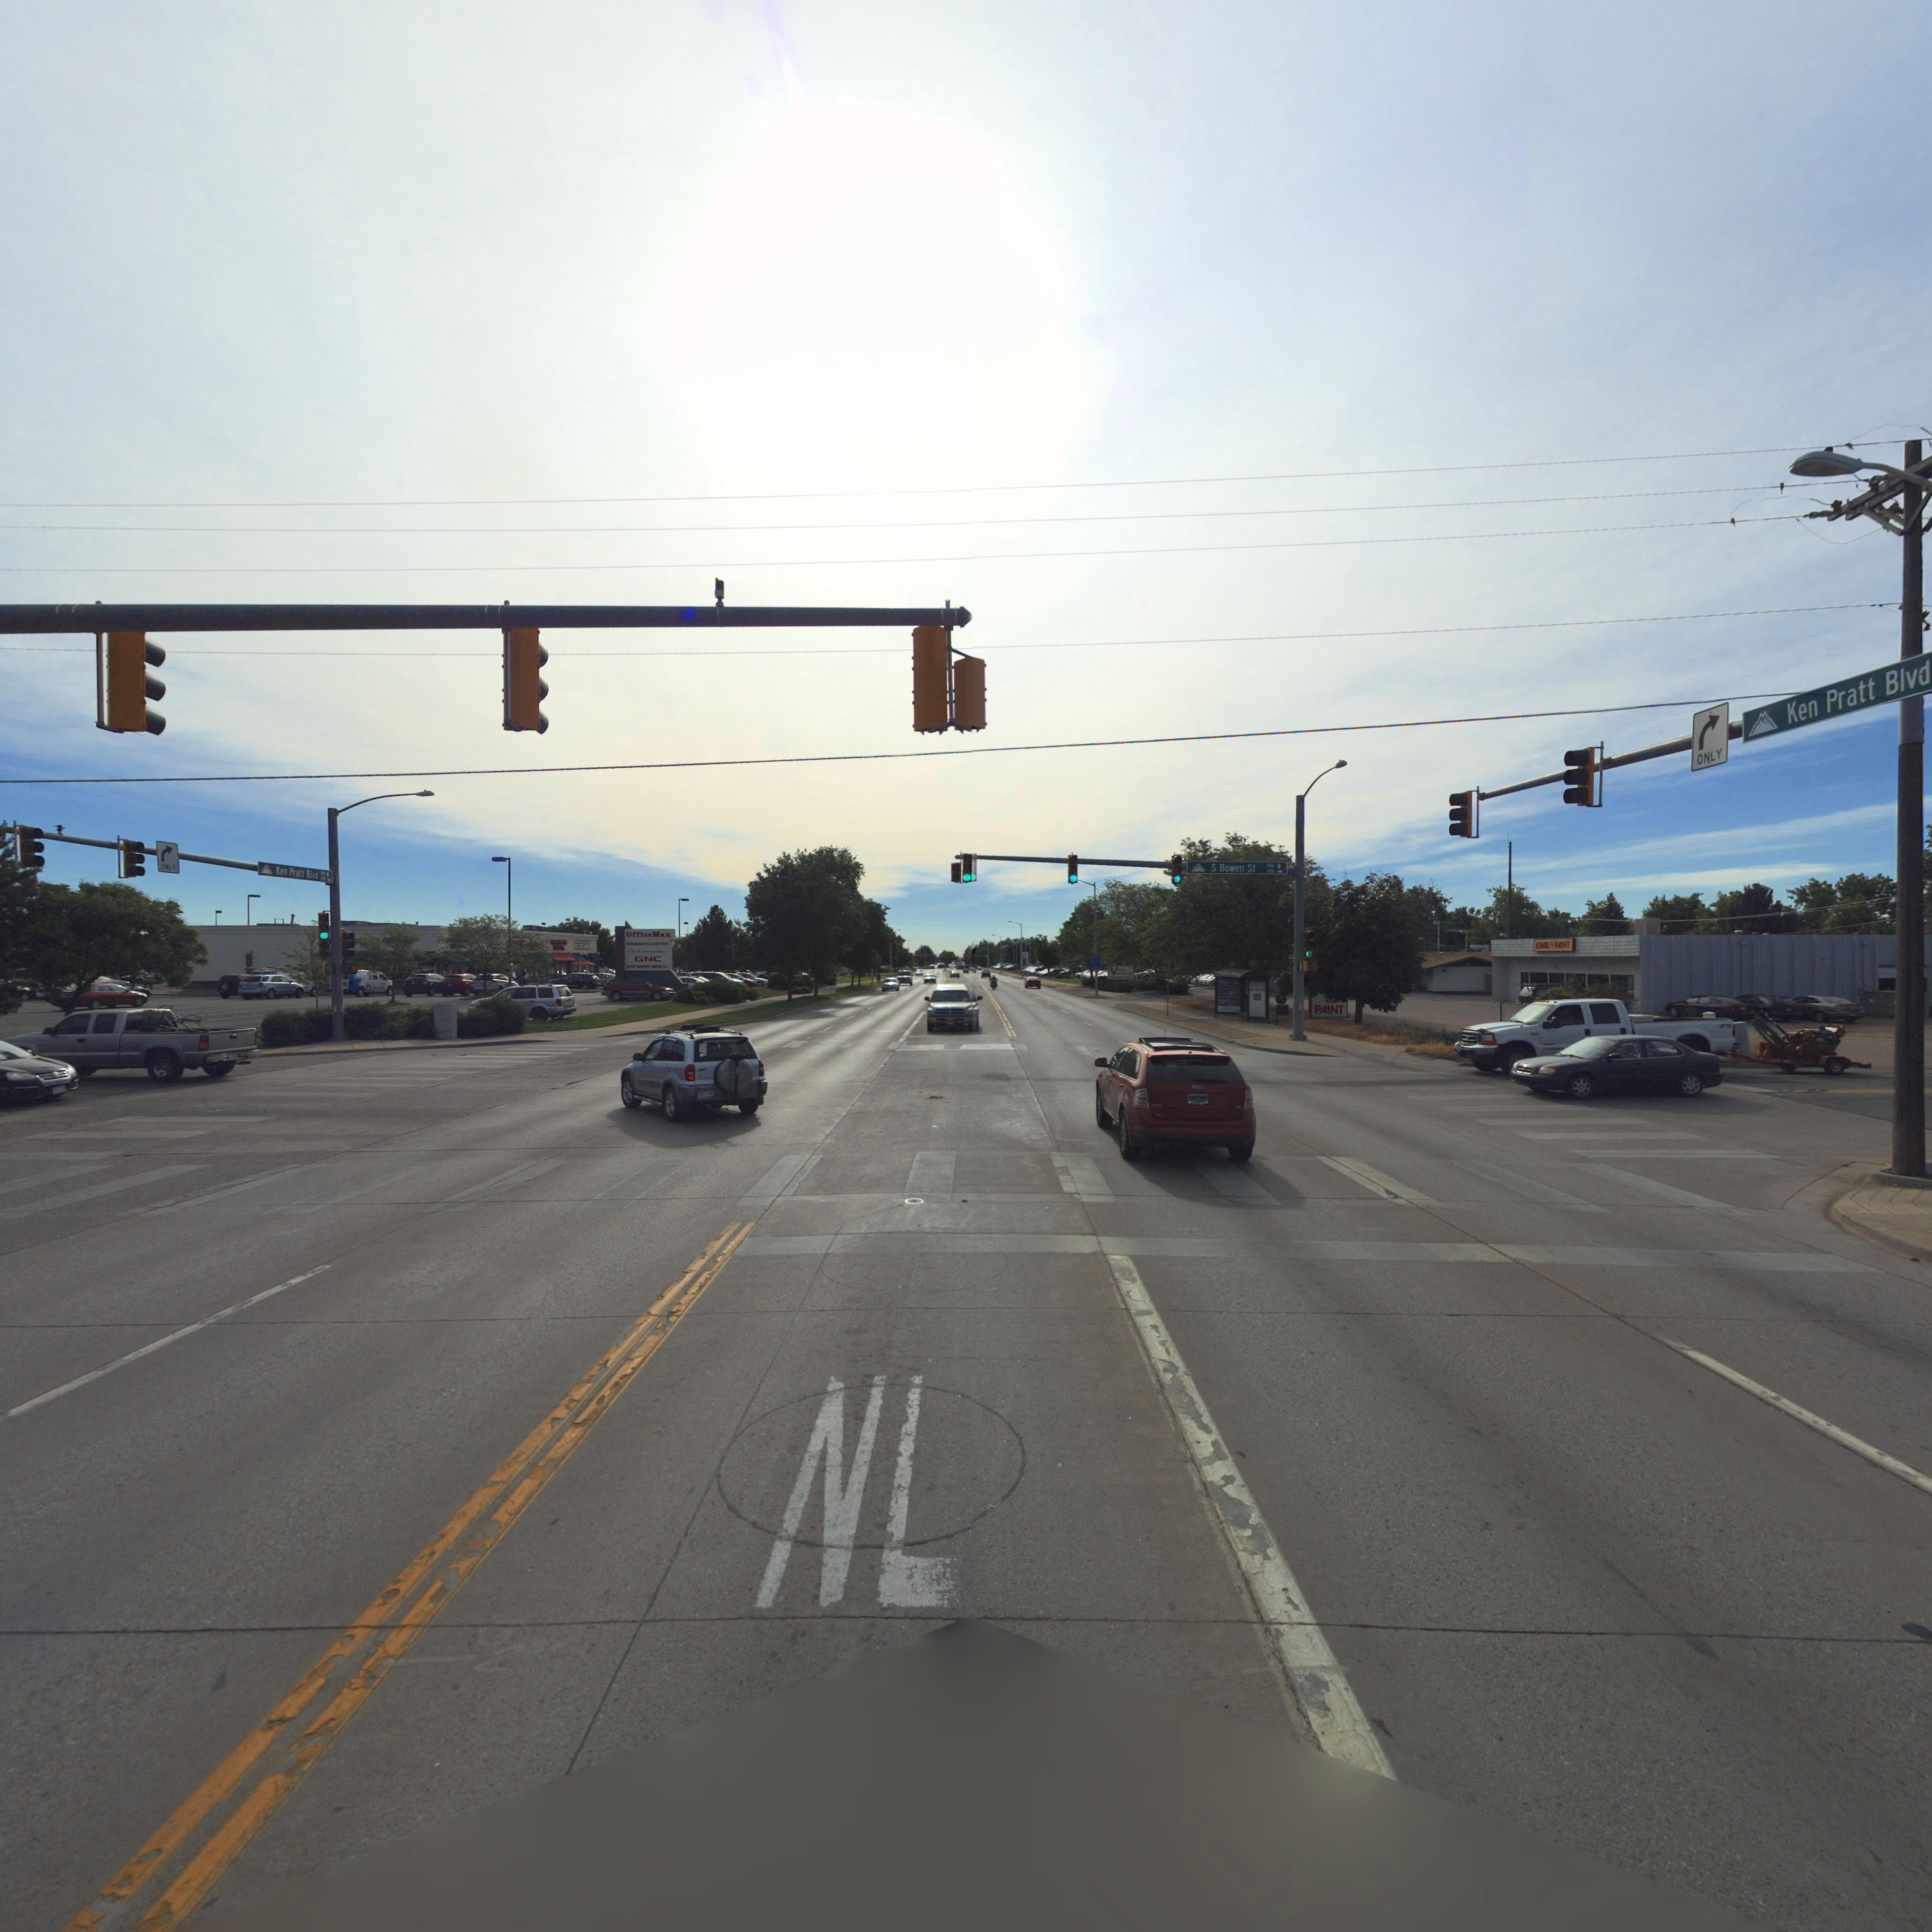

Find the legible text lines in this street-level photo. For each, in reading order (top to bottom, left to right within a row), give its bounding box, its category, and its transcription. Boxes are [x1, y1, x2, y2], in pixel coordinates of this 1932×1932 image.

[1785, 657, 1931, 725] BusinessName: Ken Pratt Blvd
[1211, 863, 1256, 872] StreetName: S Bowen St
[1266, 863, 1275, 868] StreetNumberRange: 1**0
[274, 864, 319, 880] StreetName: Ken Pratt Blvd
[1267, 869, 1283, 873] StreetNumberRange: 600->
[626, 931, 671, 937] BusinessName: OfficeMax
[626, 942, 668, 946] BusinessName: S*A*****S COFF**
[1535, 941, 1571, 949] BusinessName: K*AL * PAINT
[628, 947, 667, 955] BusinessName: Ch****** M****** G****
[634, 956, 662, 962] BusinessName: GNC
[626, 965, 667, 968] BusinessName: G***T *ARVE*T ***AD C**
[1109, 966, 1119, 976] BusinessName: V
[1117, 967, 1127, 972] BusinessName: ****y
[1125, 975, 1131, 979] BusinessName: P.C.
[1314, 1005, 1344, 1014] BusinessName: PAINT